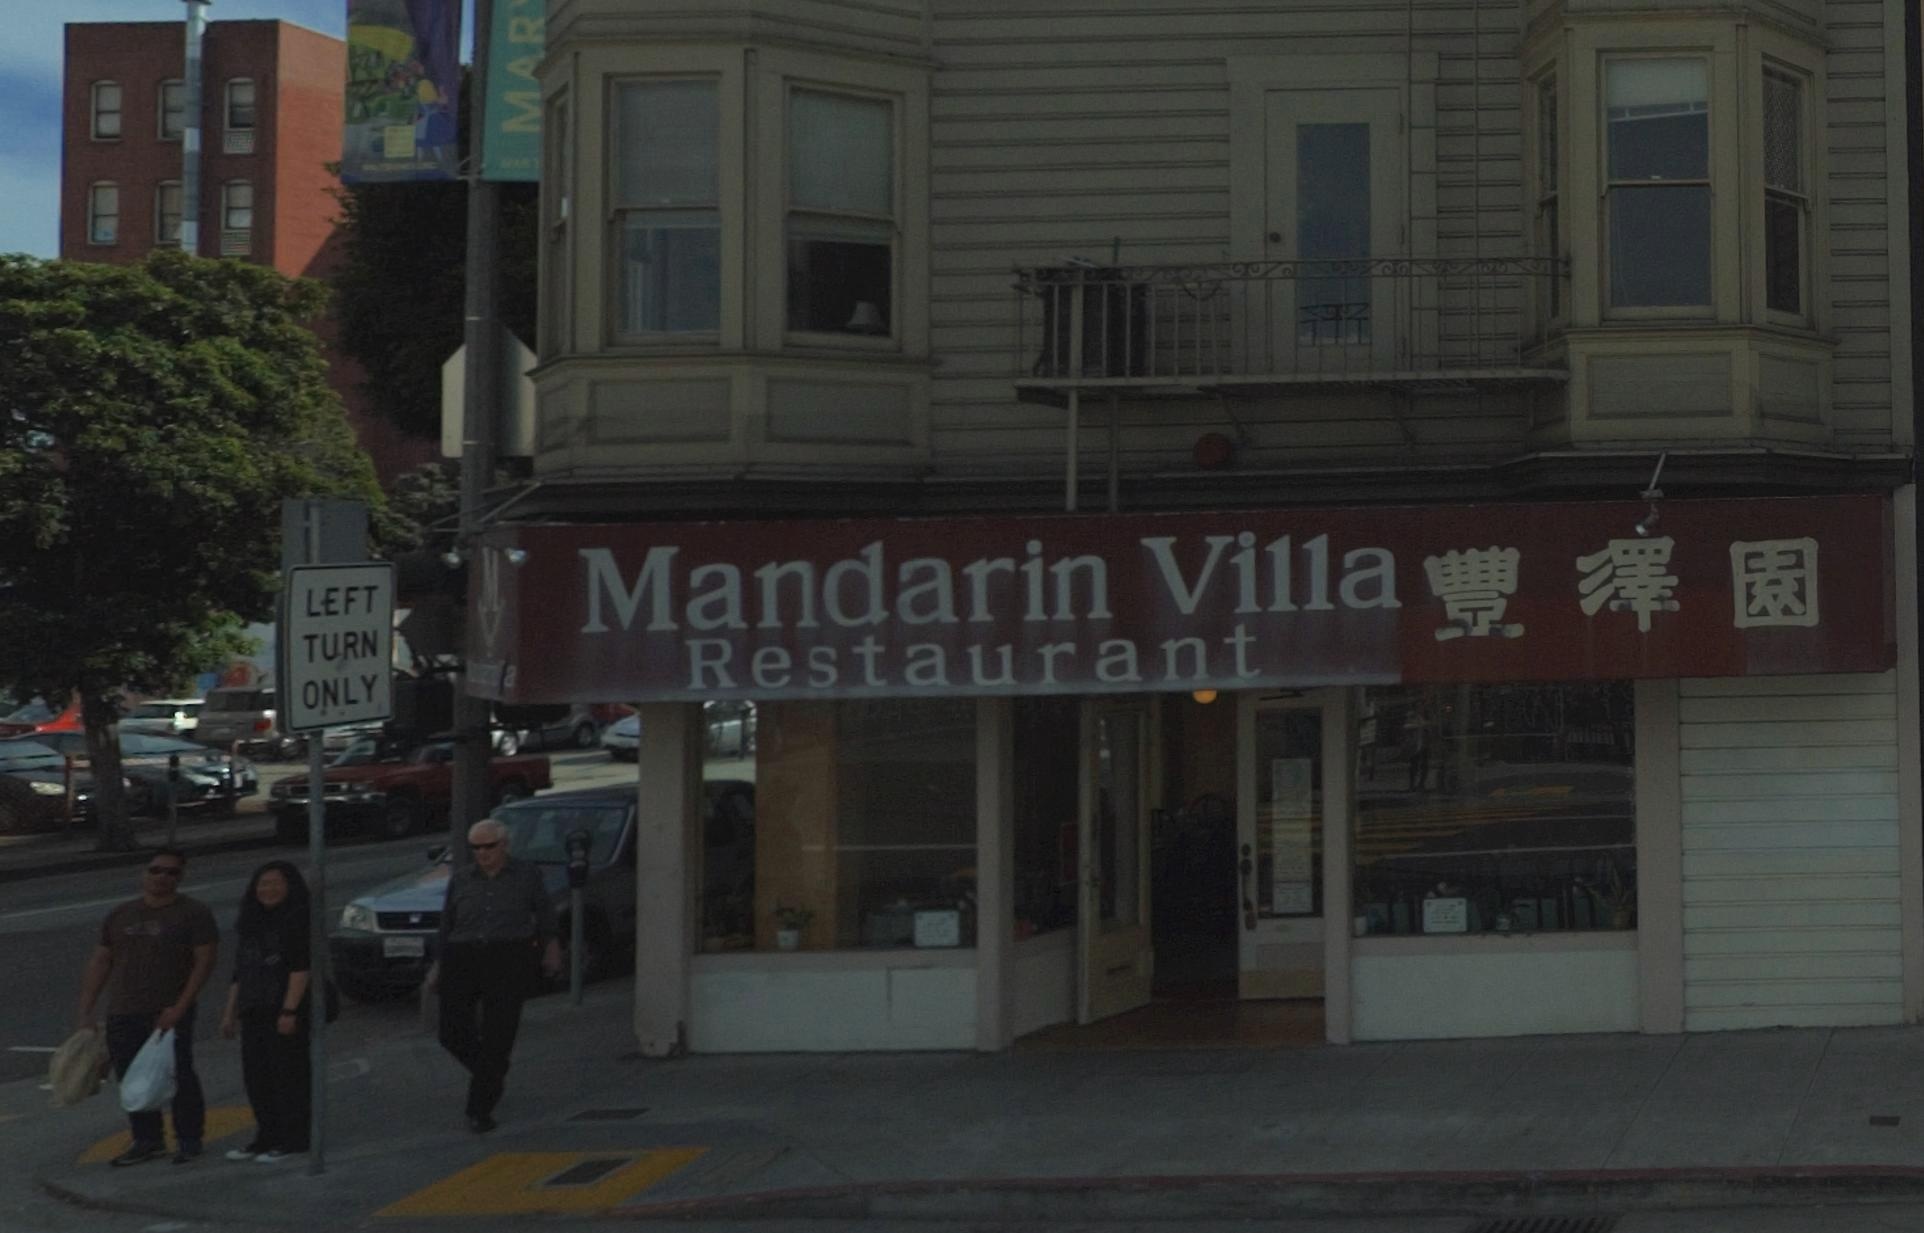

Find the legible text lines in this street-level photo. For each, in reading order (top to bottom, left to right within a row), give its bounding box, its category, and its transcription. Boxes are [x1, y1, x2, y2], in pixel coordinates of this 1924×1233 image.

[494, 86, 547, 138] None: M
[301, 581, 385, 622] None: LEFT
[574, 527, 1407, 638] BusinessName: Mandarin Villa
[297, 625, 382, 667] None: TURN
[680, 615, 1270, 697] BusinessName: Restaurant
[299, 670, 382, 713] None: ONLY